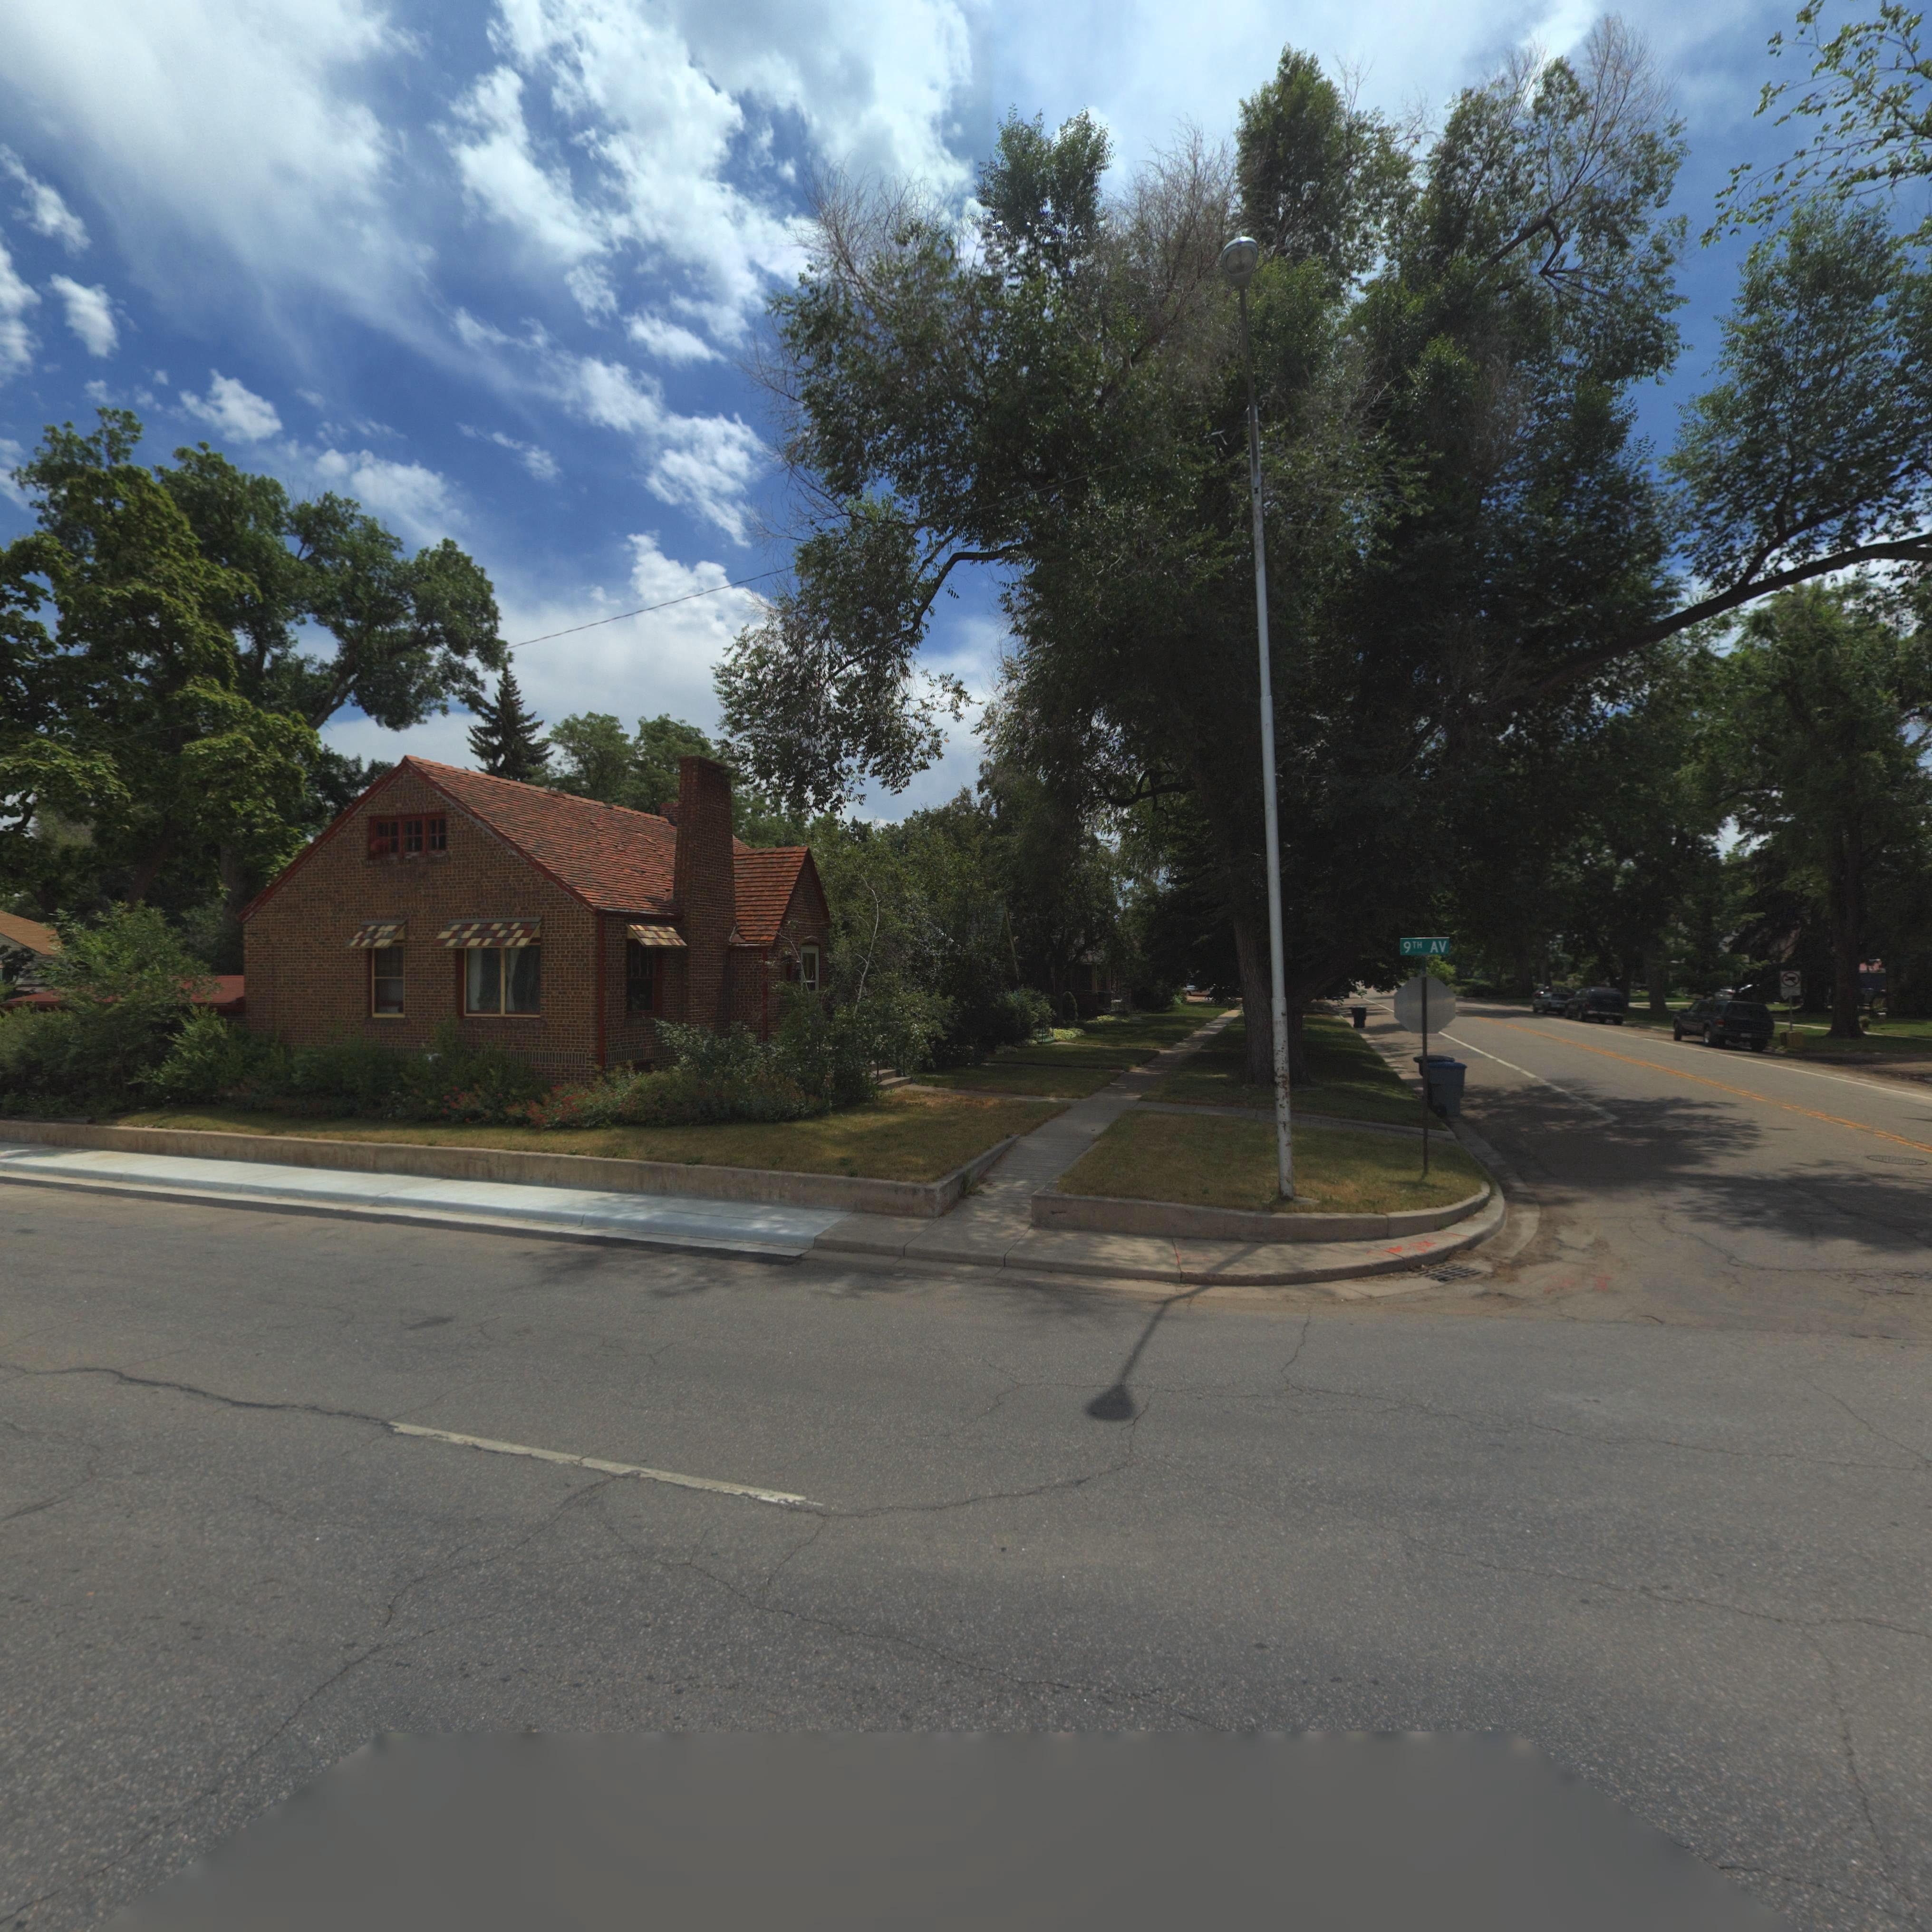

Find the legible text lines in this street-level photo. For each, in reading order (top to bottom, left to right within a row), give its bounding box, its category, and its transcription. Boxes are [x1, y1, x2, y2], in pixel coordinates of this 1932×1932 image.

[1402, 940, 1448, 954] StreetName: 9TH AV